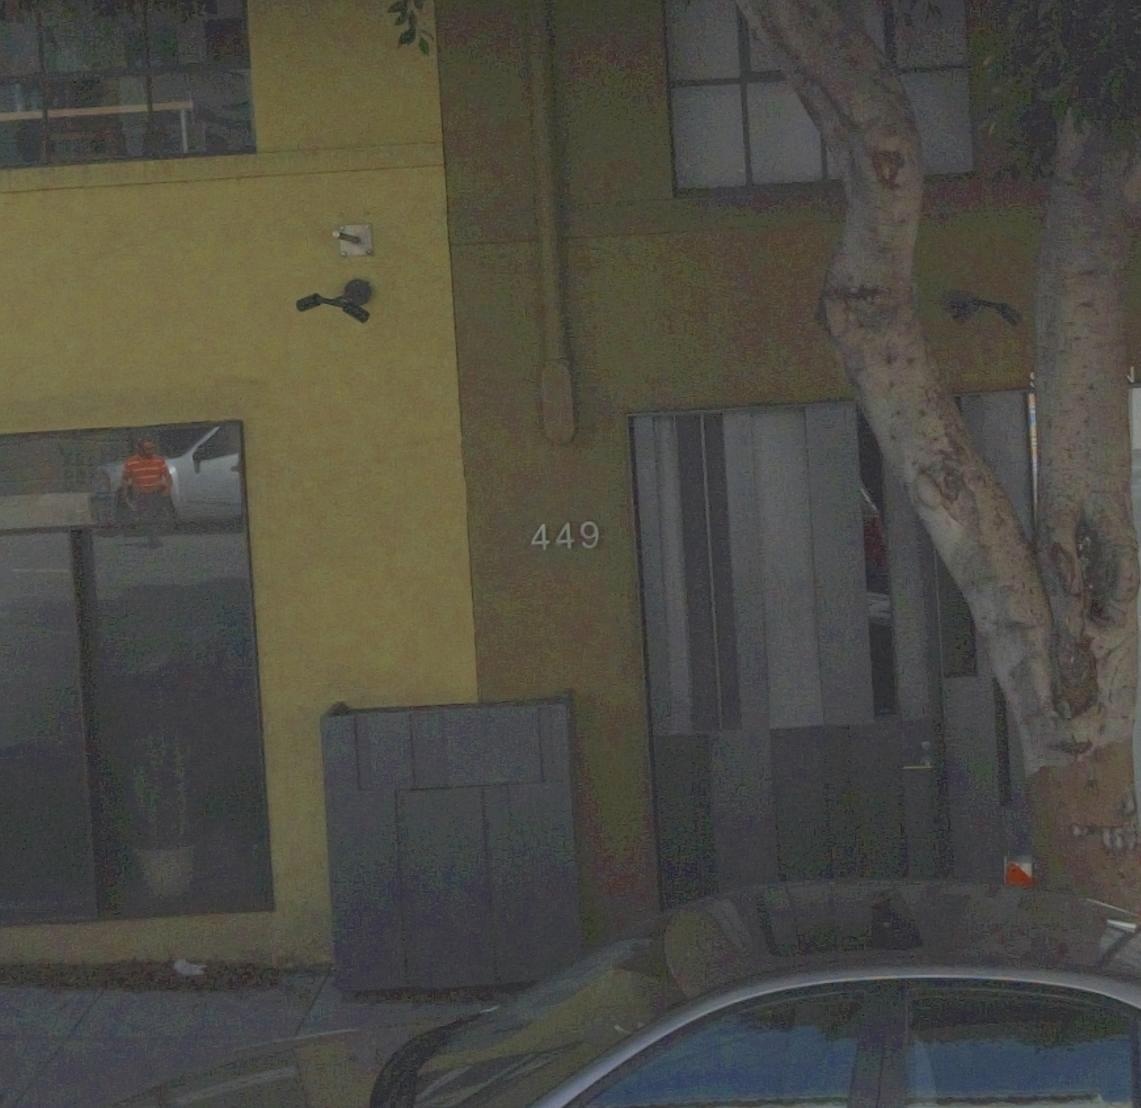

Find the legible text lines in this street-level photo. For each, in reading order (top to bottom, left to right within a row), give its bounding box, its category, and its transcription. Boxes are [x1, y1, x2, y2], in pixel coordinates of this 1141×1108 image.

[518, 517, 603, 553] StreetNumber: 449